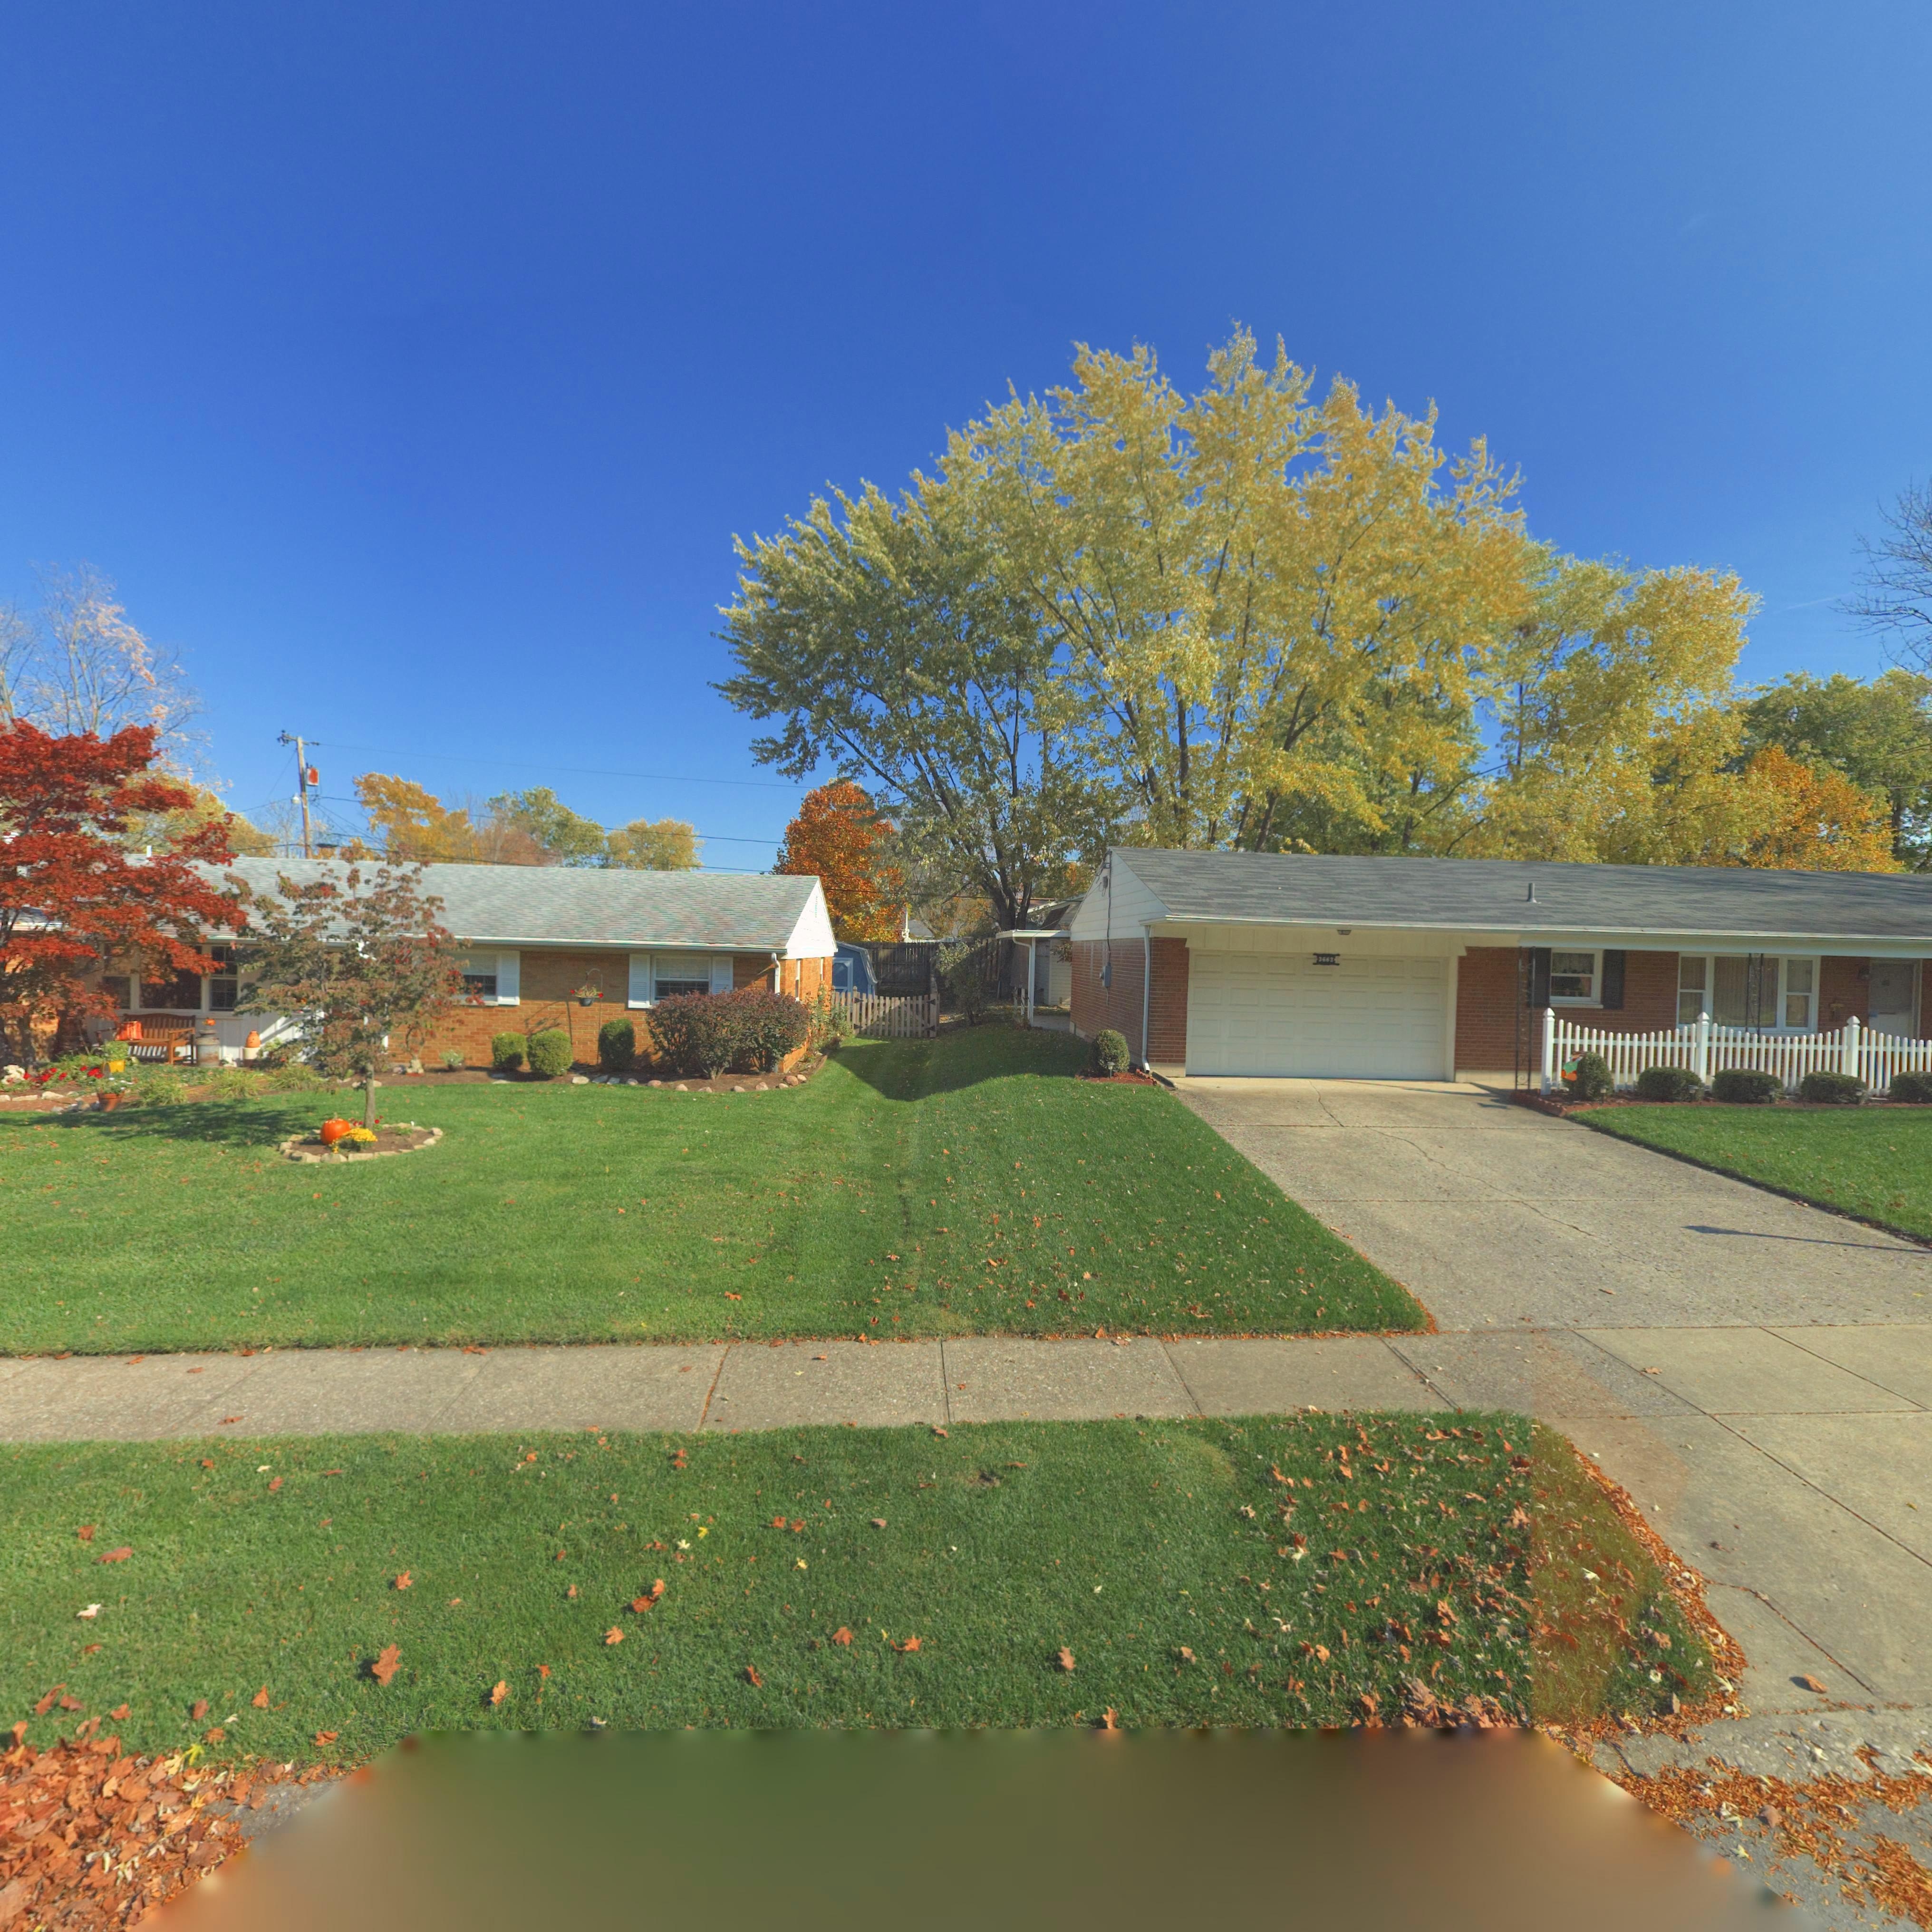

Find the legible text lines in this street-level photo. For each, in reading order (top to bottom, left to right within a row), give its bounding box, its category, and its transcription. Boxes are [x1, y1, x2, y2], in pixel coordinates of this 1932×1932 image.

[1317, 955, 1335, 964] StreetNumber: 3662